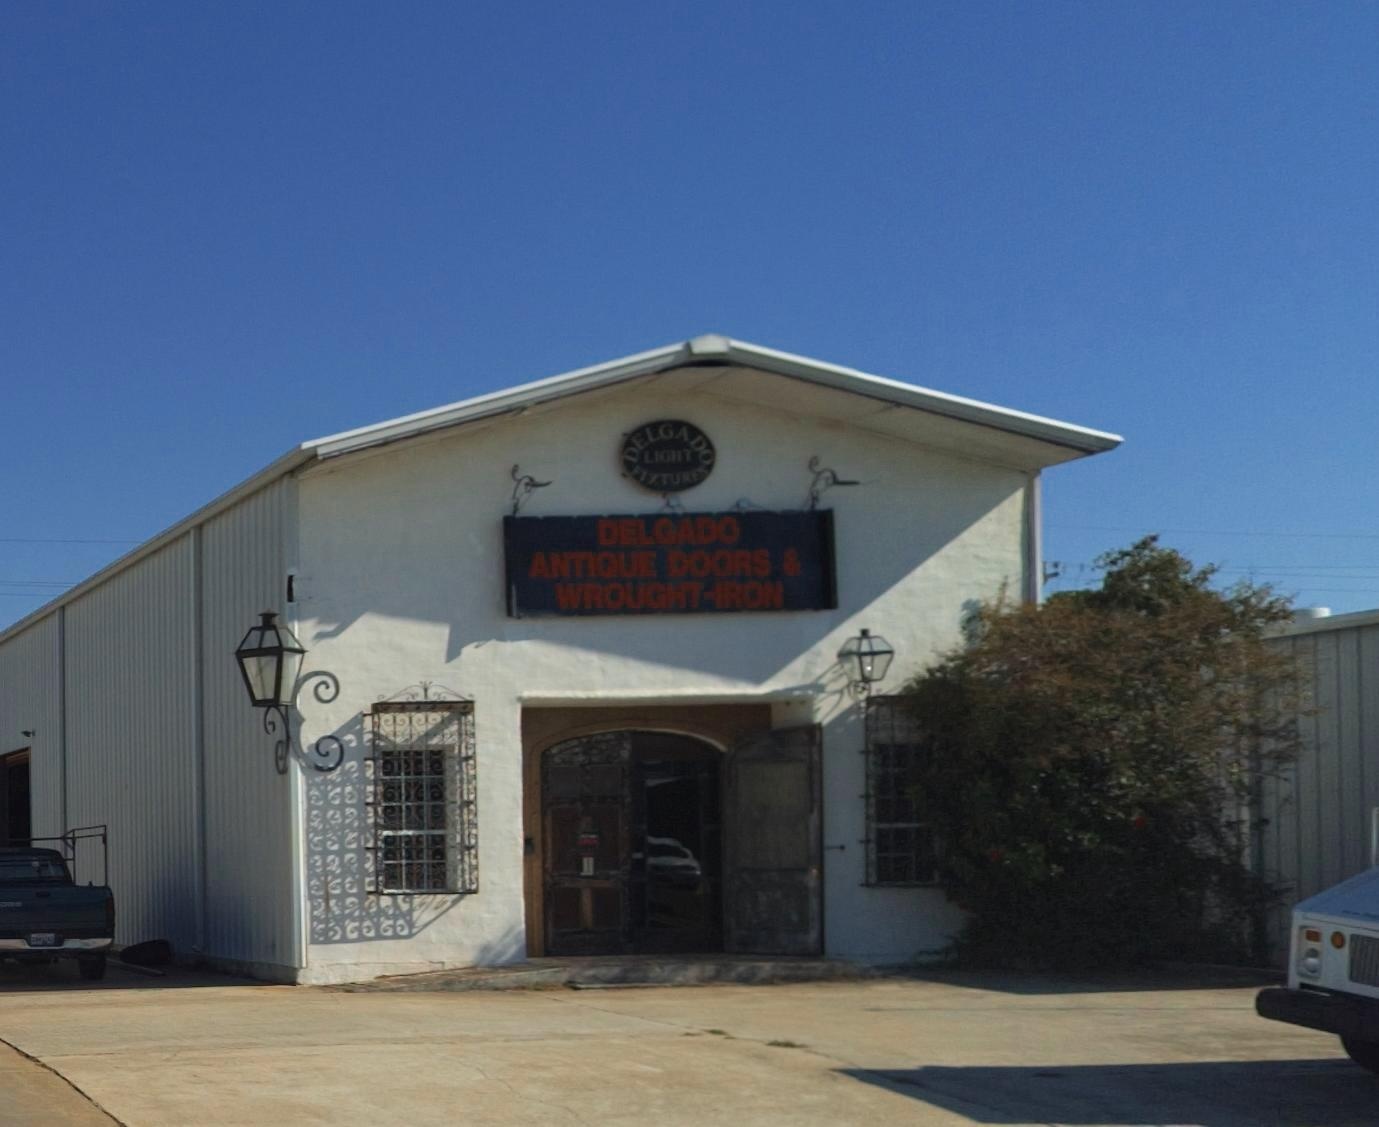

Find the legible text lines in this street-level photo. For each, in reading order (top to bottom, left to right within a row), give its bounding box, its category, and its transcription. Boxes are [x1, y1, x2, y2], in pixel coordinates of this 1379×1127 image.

[618, 421, 717, 466] BusinessName: DELGADO
[641, 446, 697, 466] None: LIGHT
[625, 461, 714, 489] None: FIXTURES
[595, 513, 744, 549] BusinessName: DELGADO
[524, 545, 775, 582] None: ANTQUE DOORS
[550, 576, 786, 612] None: WROUGHT-IRON